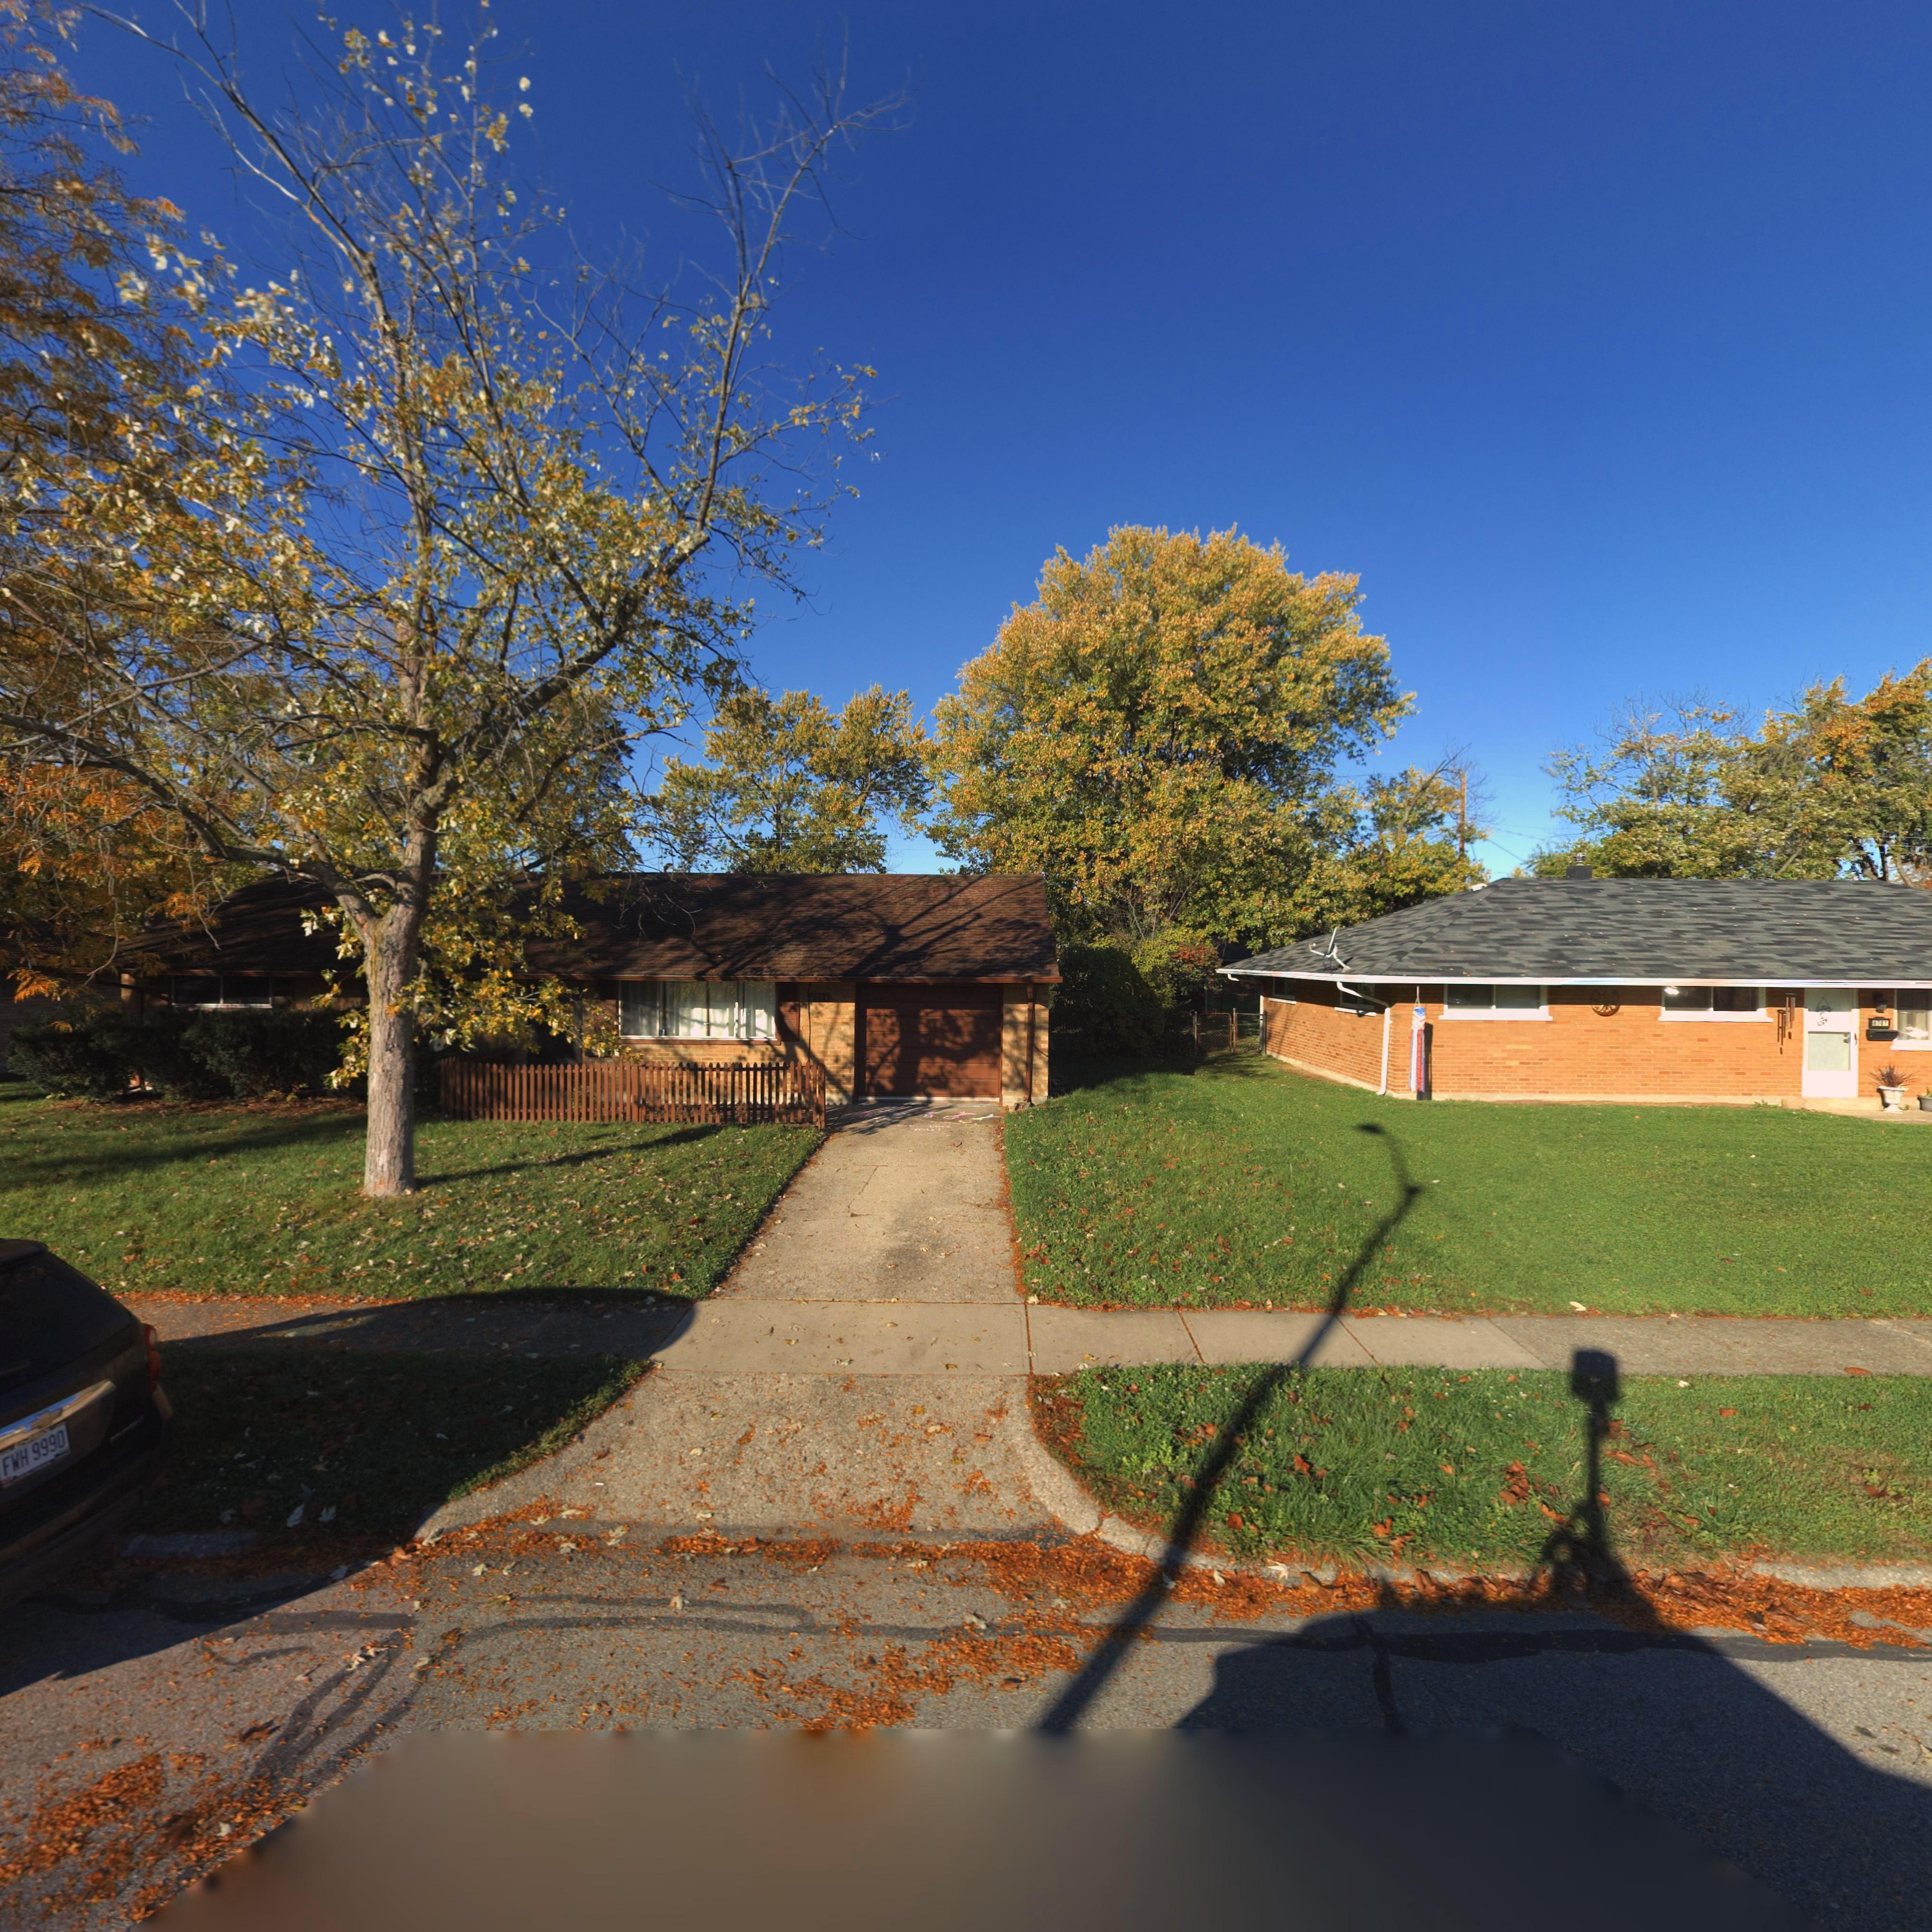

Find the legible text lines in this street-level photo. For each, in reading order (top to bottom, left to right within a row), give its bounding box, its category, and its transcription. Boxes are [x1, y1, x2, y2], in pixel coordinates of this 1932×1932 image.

[810, 994, 828, 1002] StreetNumber: 4751